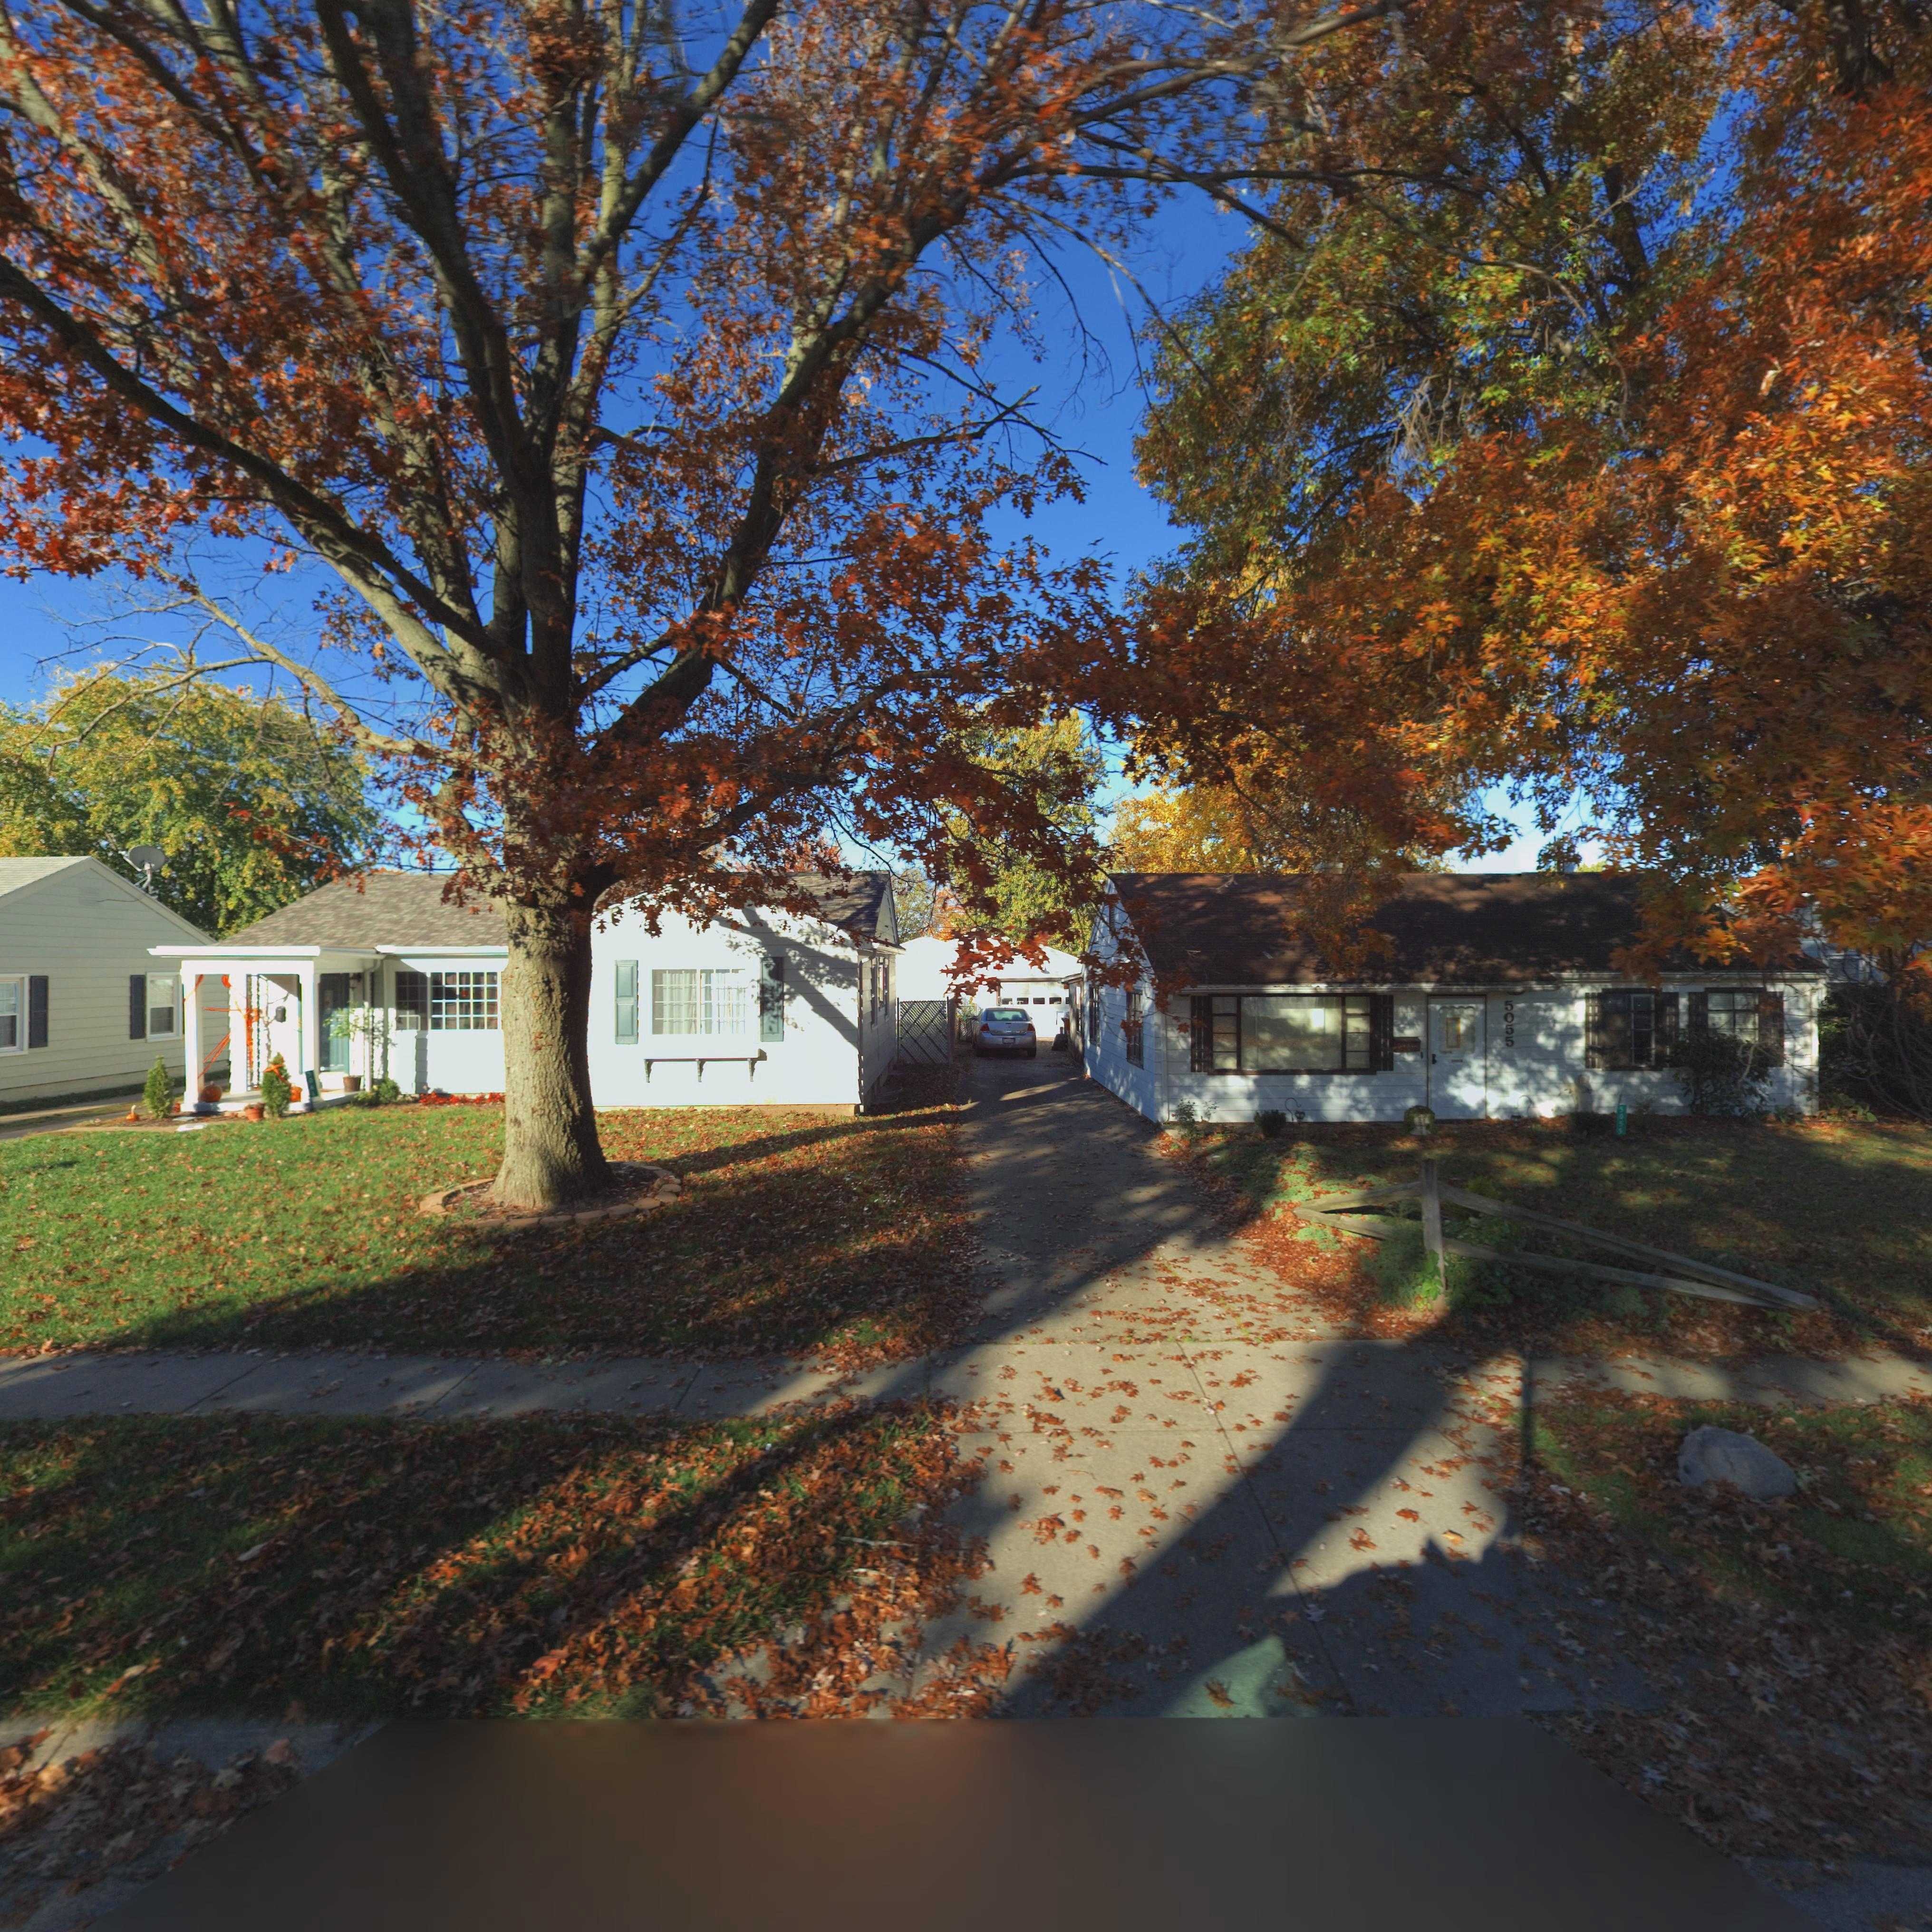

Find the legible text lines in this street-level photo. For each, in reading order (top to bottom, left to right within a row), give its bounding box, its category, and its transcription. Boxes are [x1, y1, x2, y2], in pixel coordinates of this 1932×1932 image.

[1504, 999, 1515, 1048] StreetNumber: 5055
[1617, 1105, 1625, 1135] StreetNumber: 5055